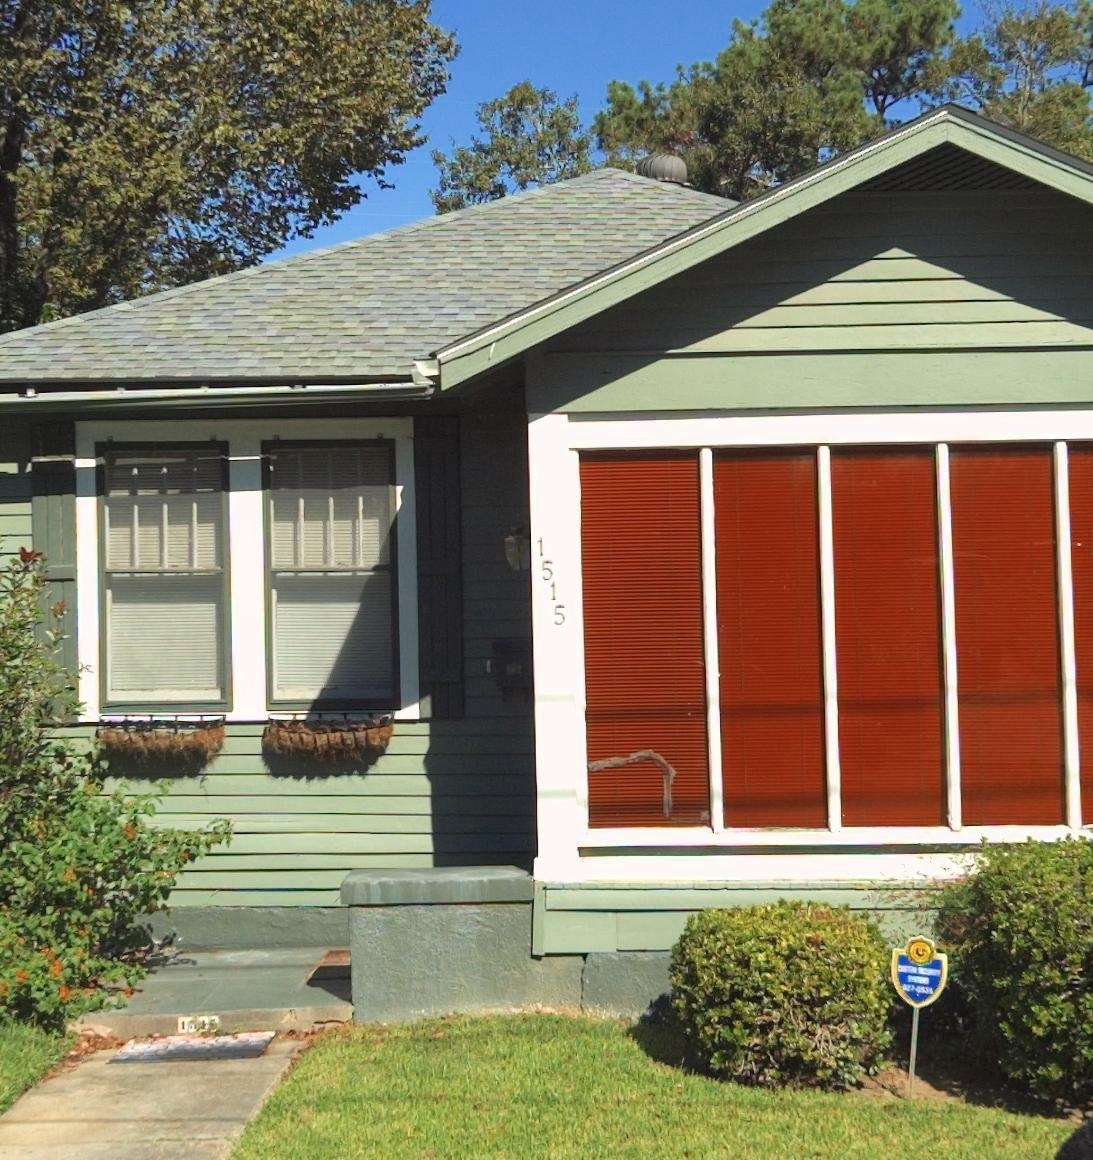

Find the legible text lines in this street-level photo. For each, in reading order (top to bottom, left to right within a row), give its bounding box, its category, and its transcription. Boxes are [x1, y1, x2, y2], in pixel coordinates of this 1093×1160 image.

[532, 532, 568, 629] StreetNumber: 1515